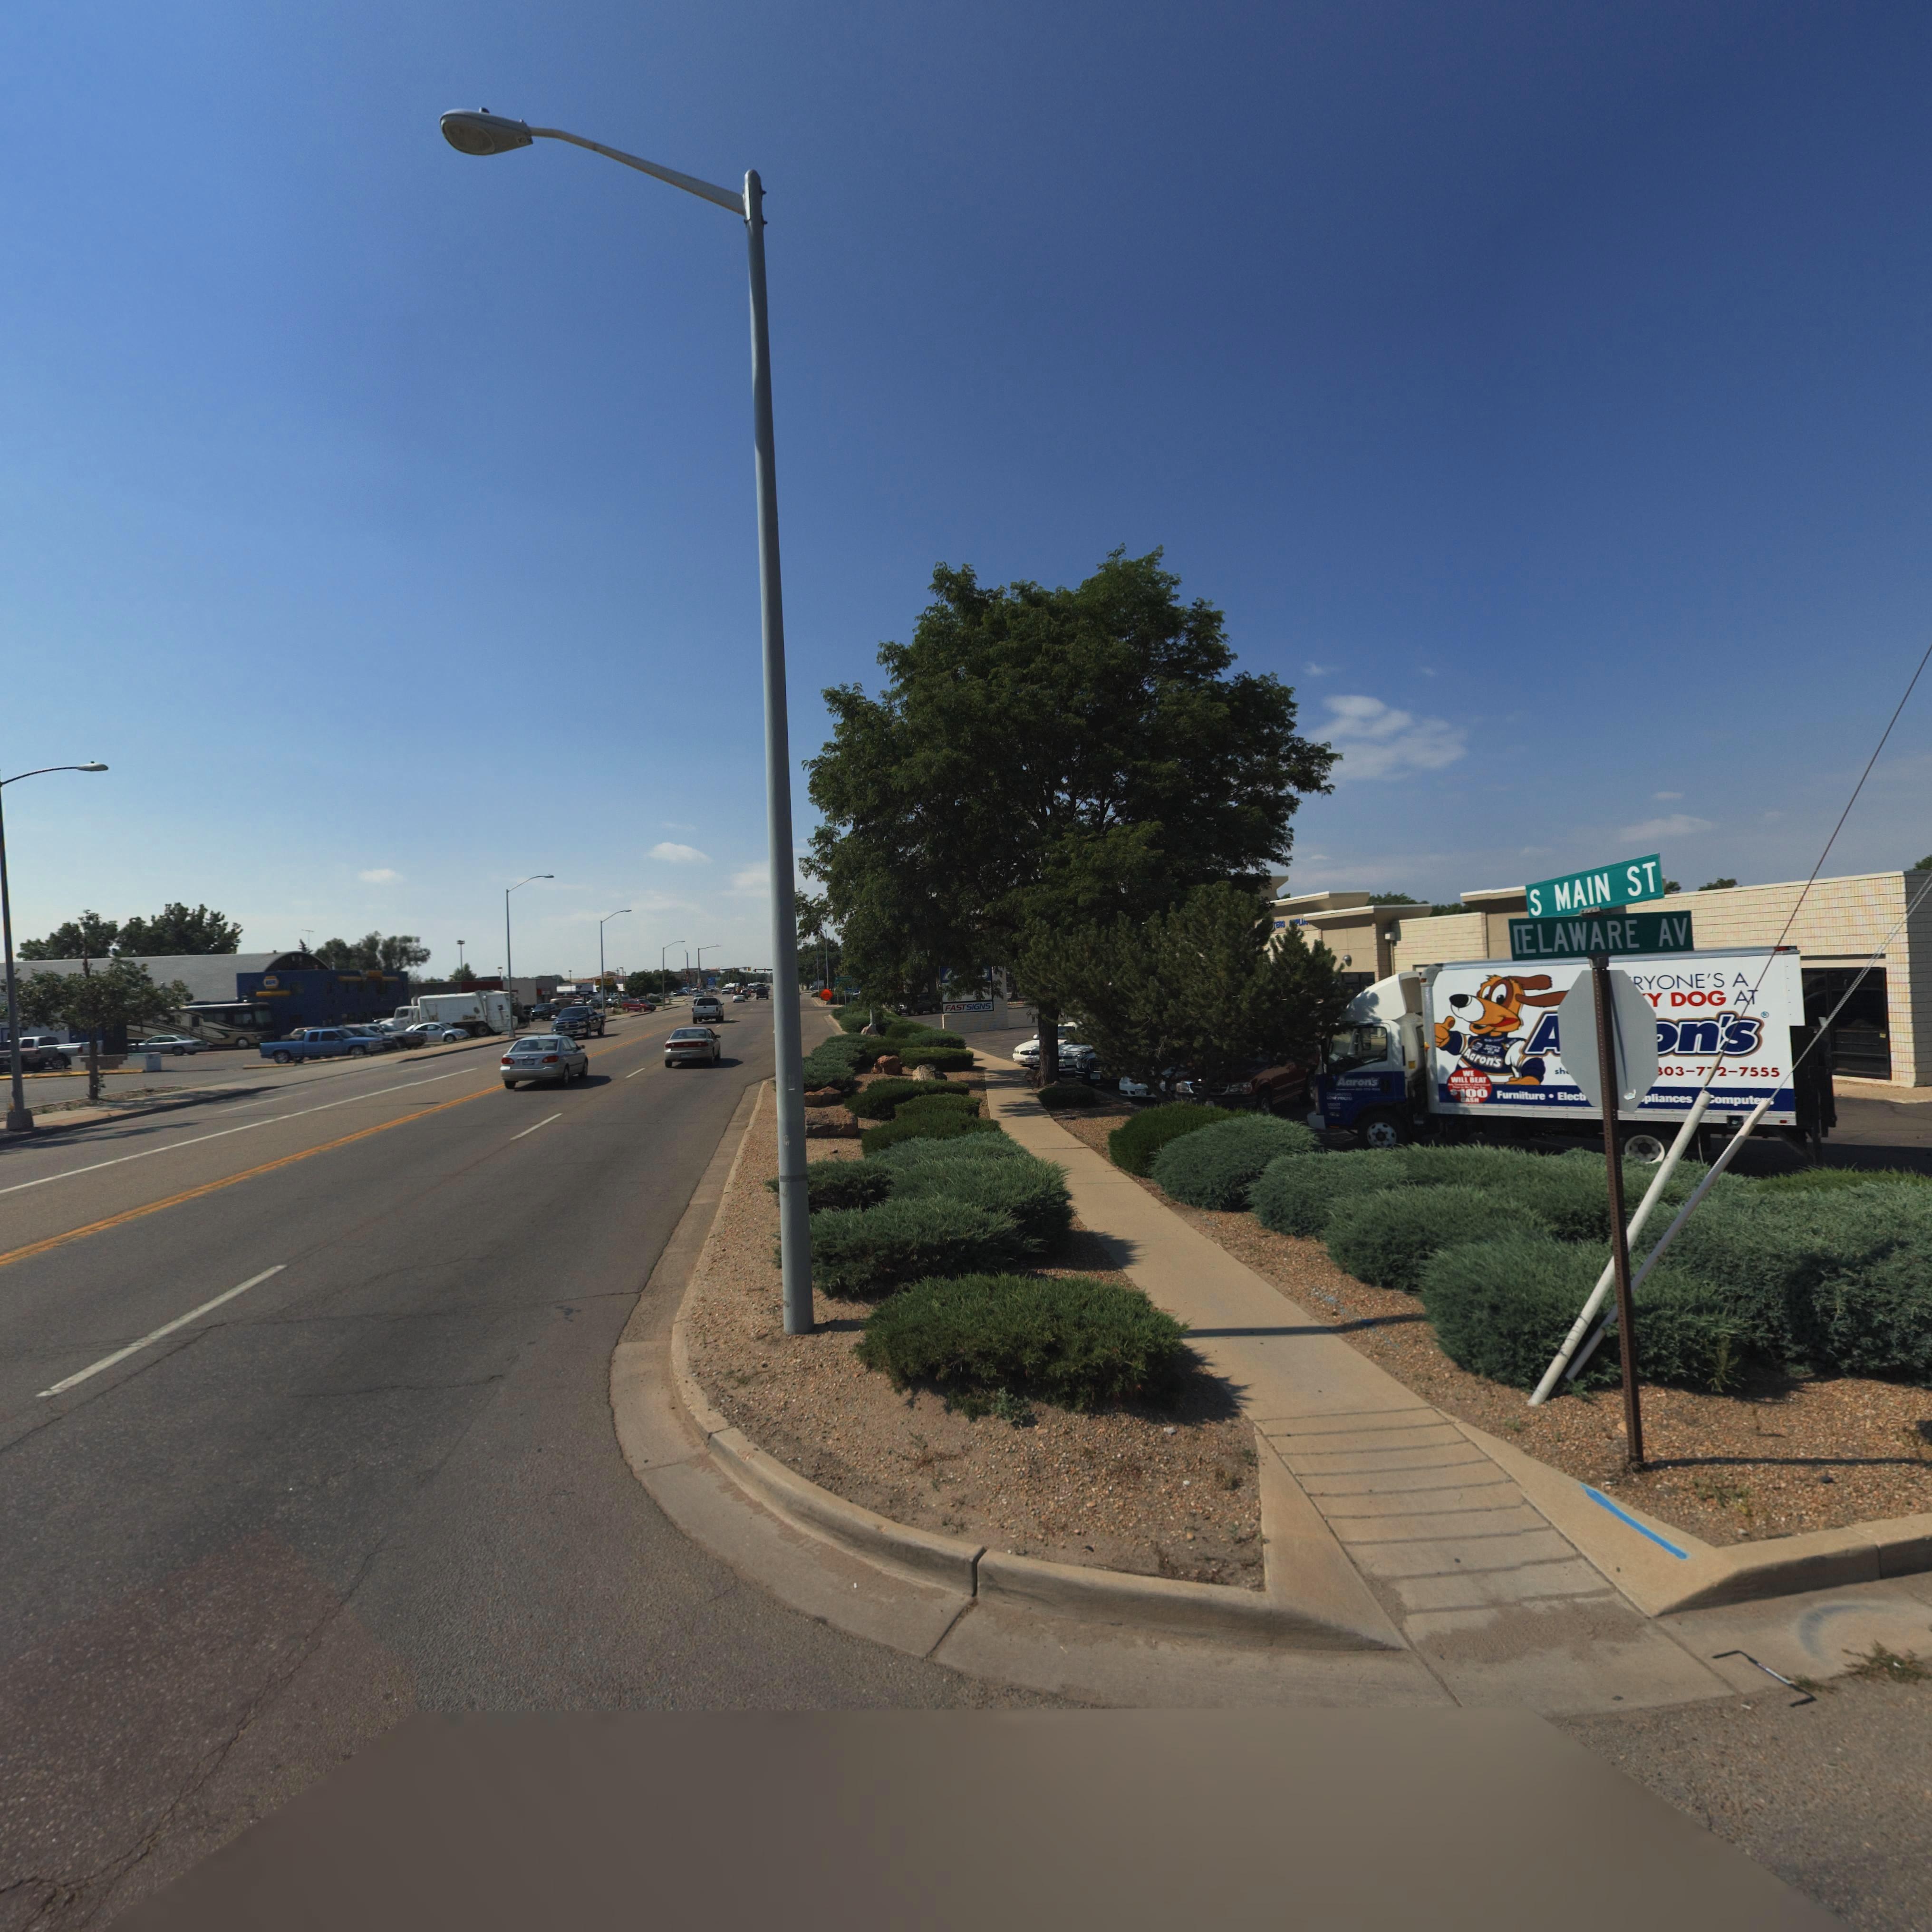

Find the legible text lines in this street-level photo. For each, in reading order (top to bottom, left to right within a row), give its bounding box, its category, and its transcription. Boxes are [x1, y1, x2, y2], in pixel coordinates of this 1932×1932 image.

[1529, 859, 1657, 917] StreetName: S MAIN ST
[1512, 915, 1690, 955] StreetName: *ELAWARE AV
[264, 979, 276, 985] None: N*PA
[596, 978, 611, 982] BusinessName: Z**
[944, 1002, 991, 1012] BusinessName: FASTSIGNS